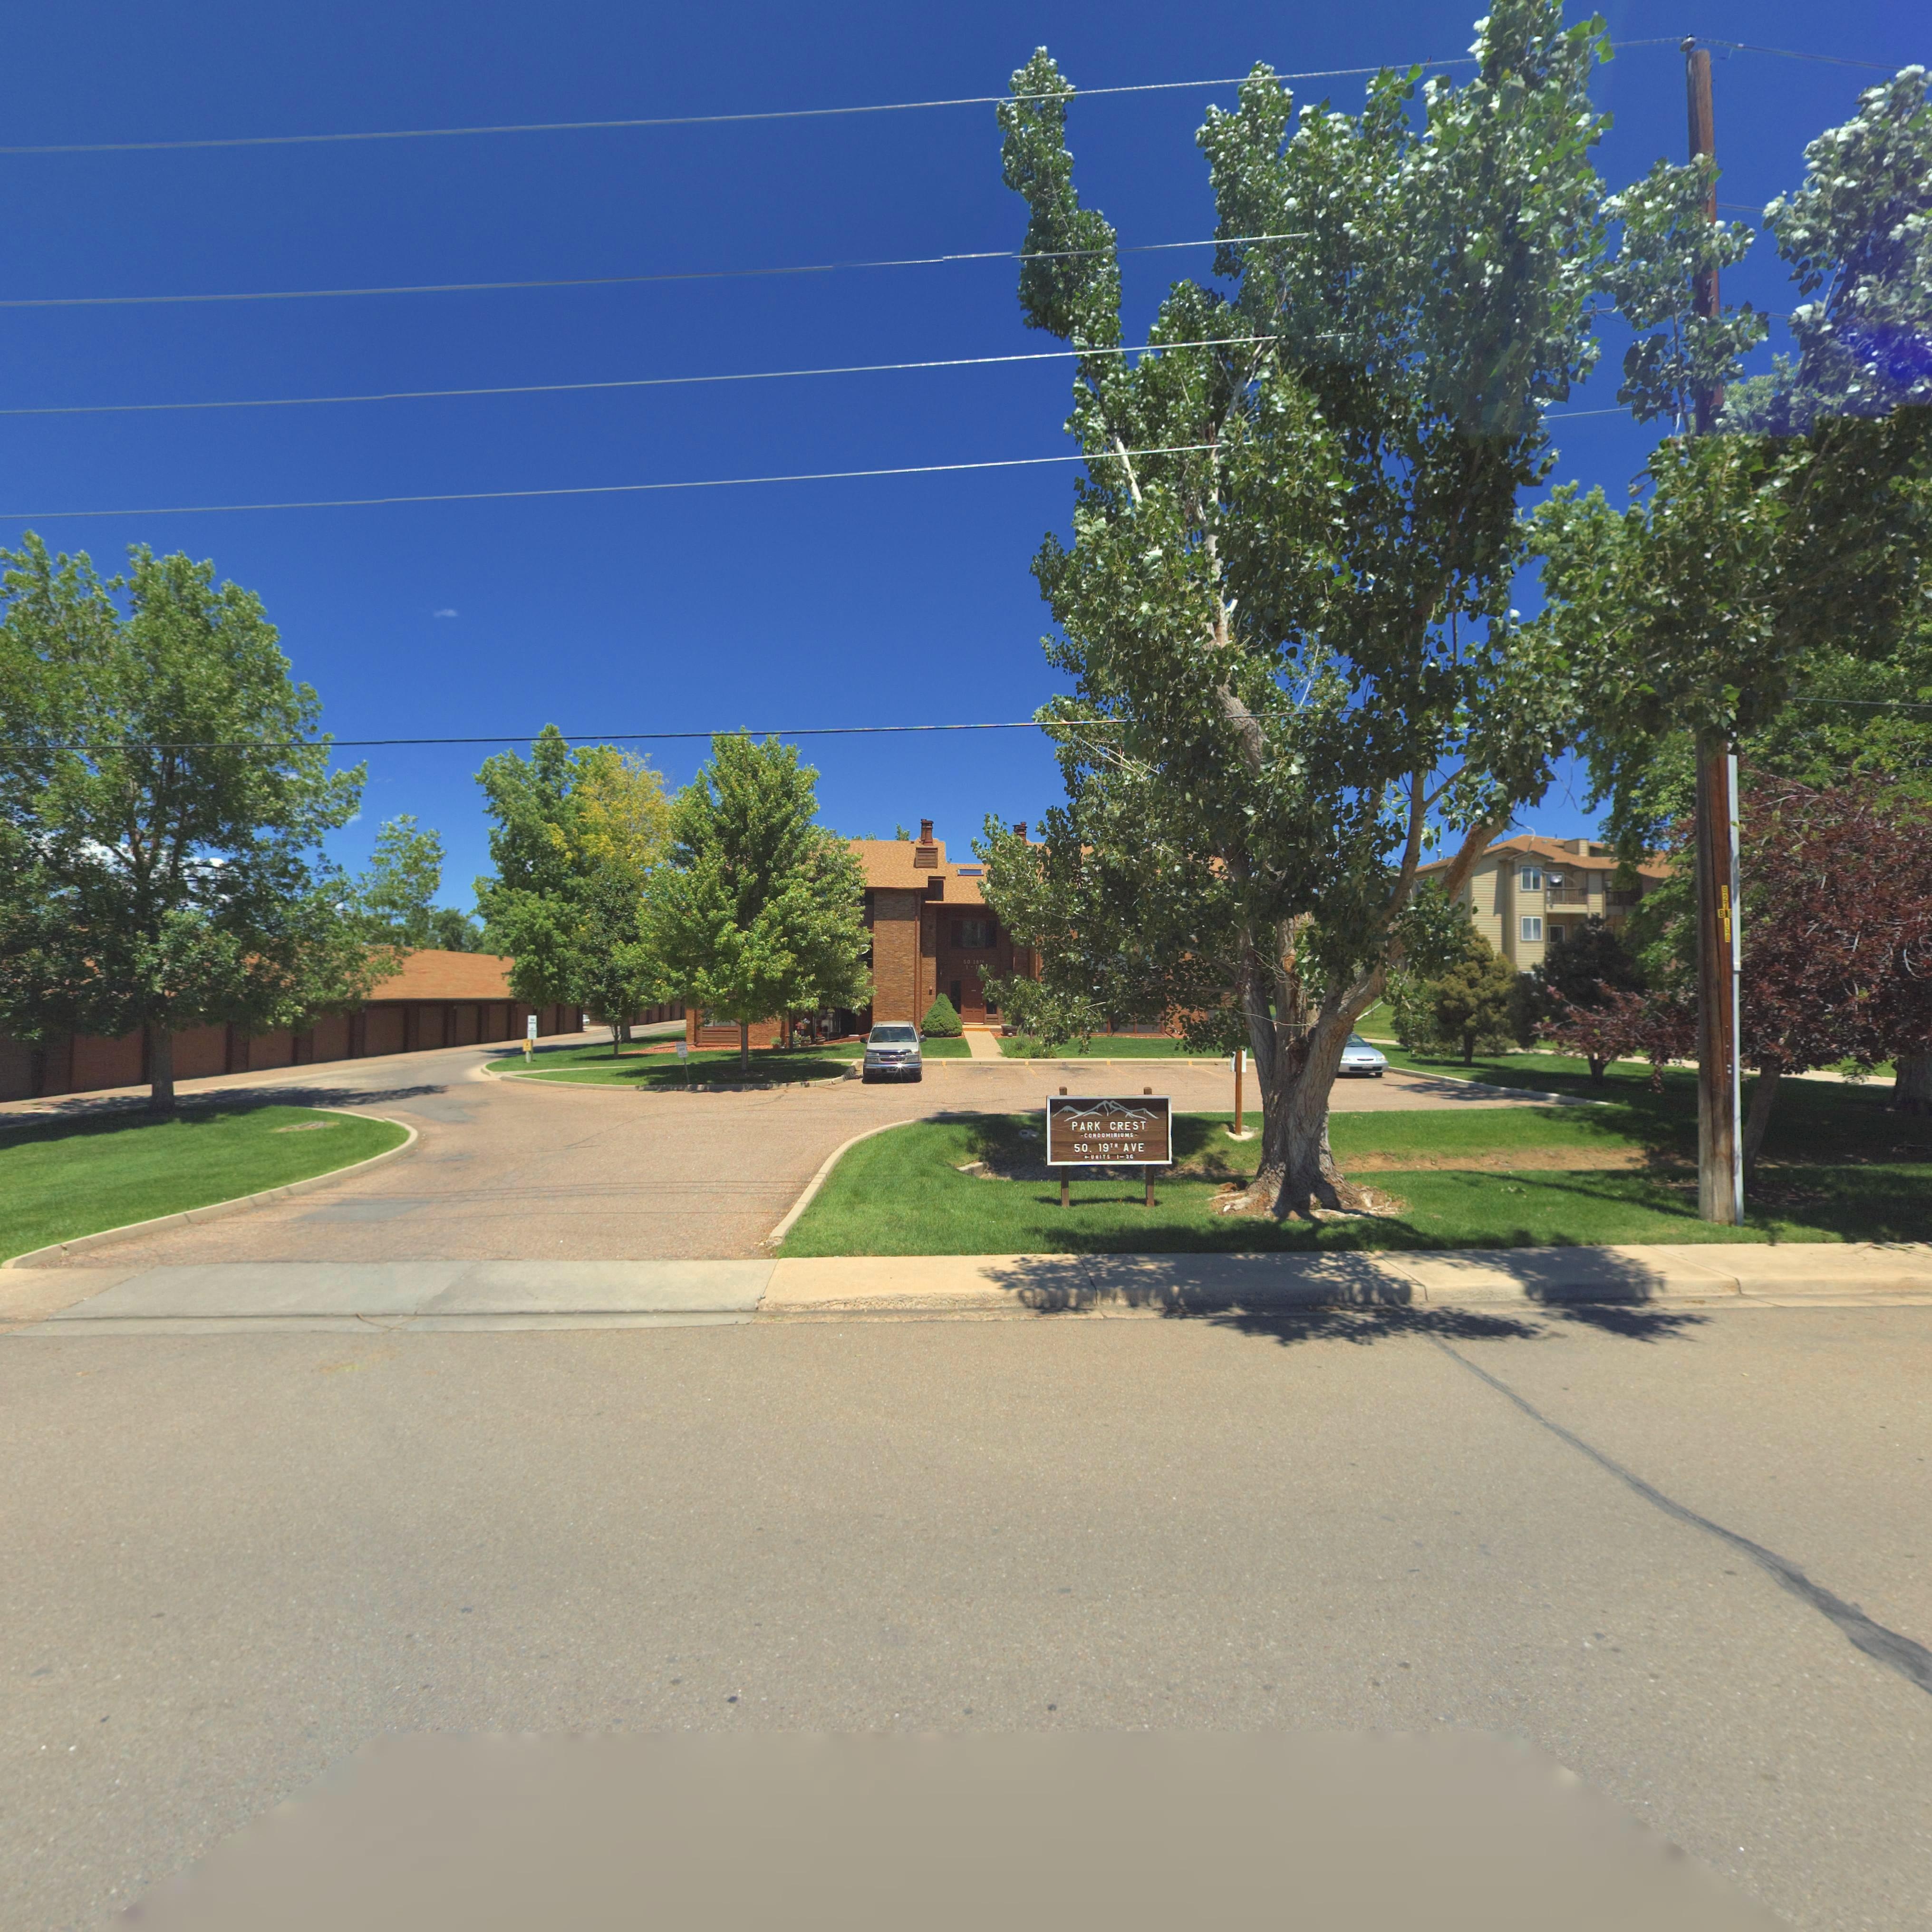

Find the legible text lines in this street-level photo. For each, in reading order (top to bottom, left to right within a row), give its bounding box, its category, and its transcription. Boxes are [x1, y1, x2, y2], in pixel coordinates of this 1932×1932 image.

[963, 959, 984, 964] StreetName: 50 19TH
[966, 965, 979, 969] StreetNumber: 1 - 1*
[1072, 1121, 1146, 1130] BusinessName: PARK CREST
[1083, 1132, 1133, 1138] BusinessName: CONDOMINIUMS
[1074, 1142, 1144, 1152] StreetName: 50. 19TH AVE
[1083, 1153, 1133, 1159] SecondaryUnitDesignator: <-UNITS 1-36